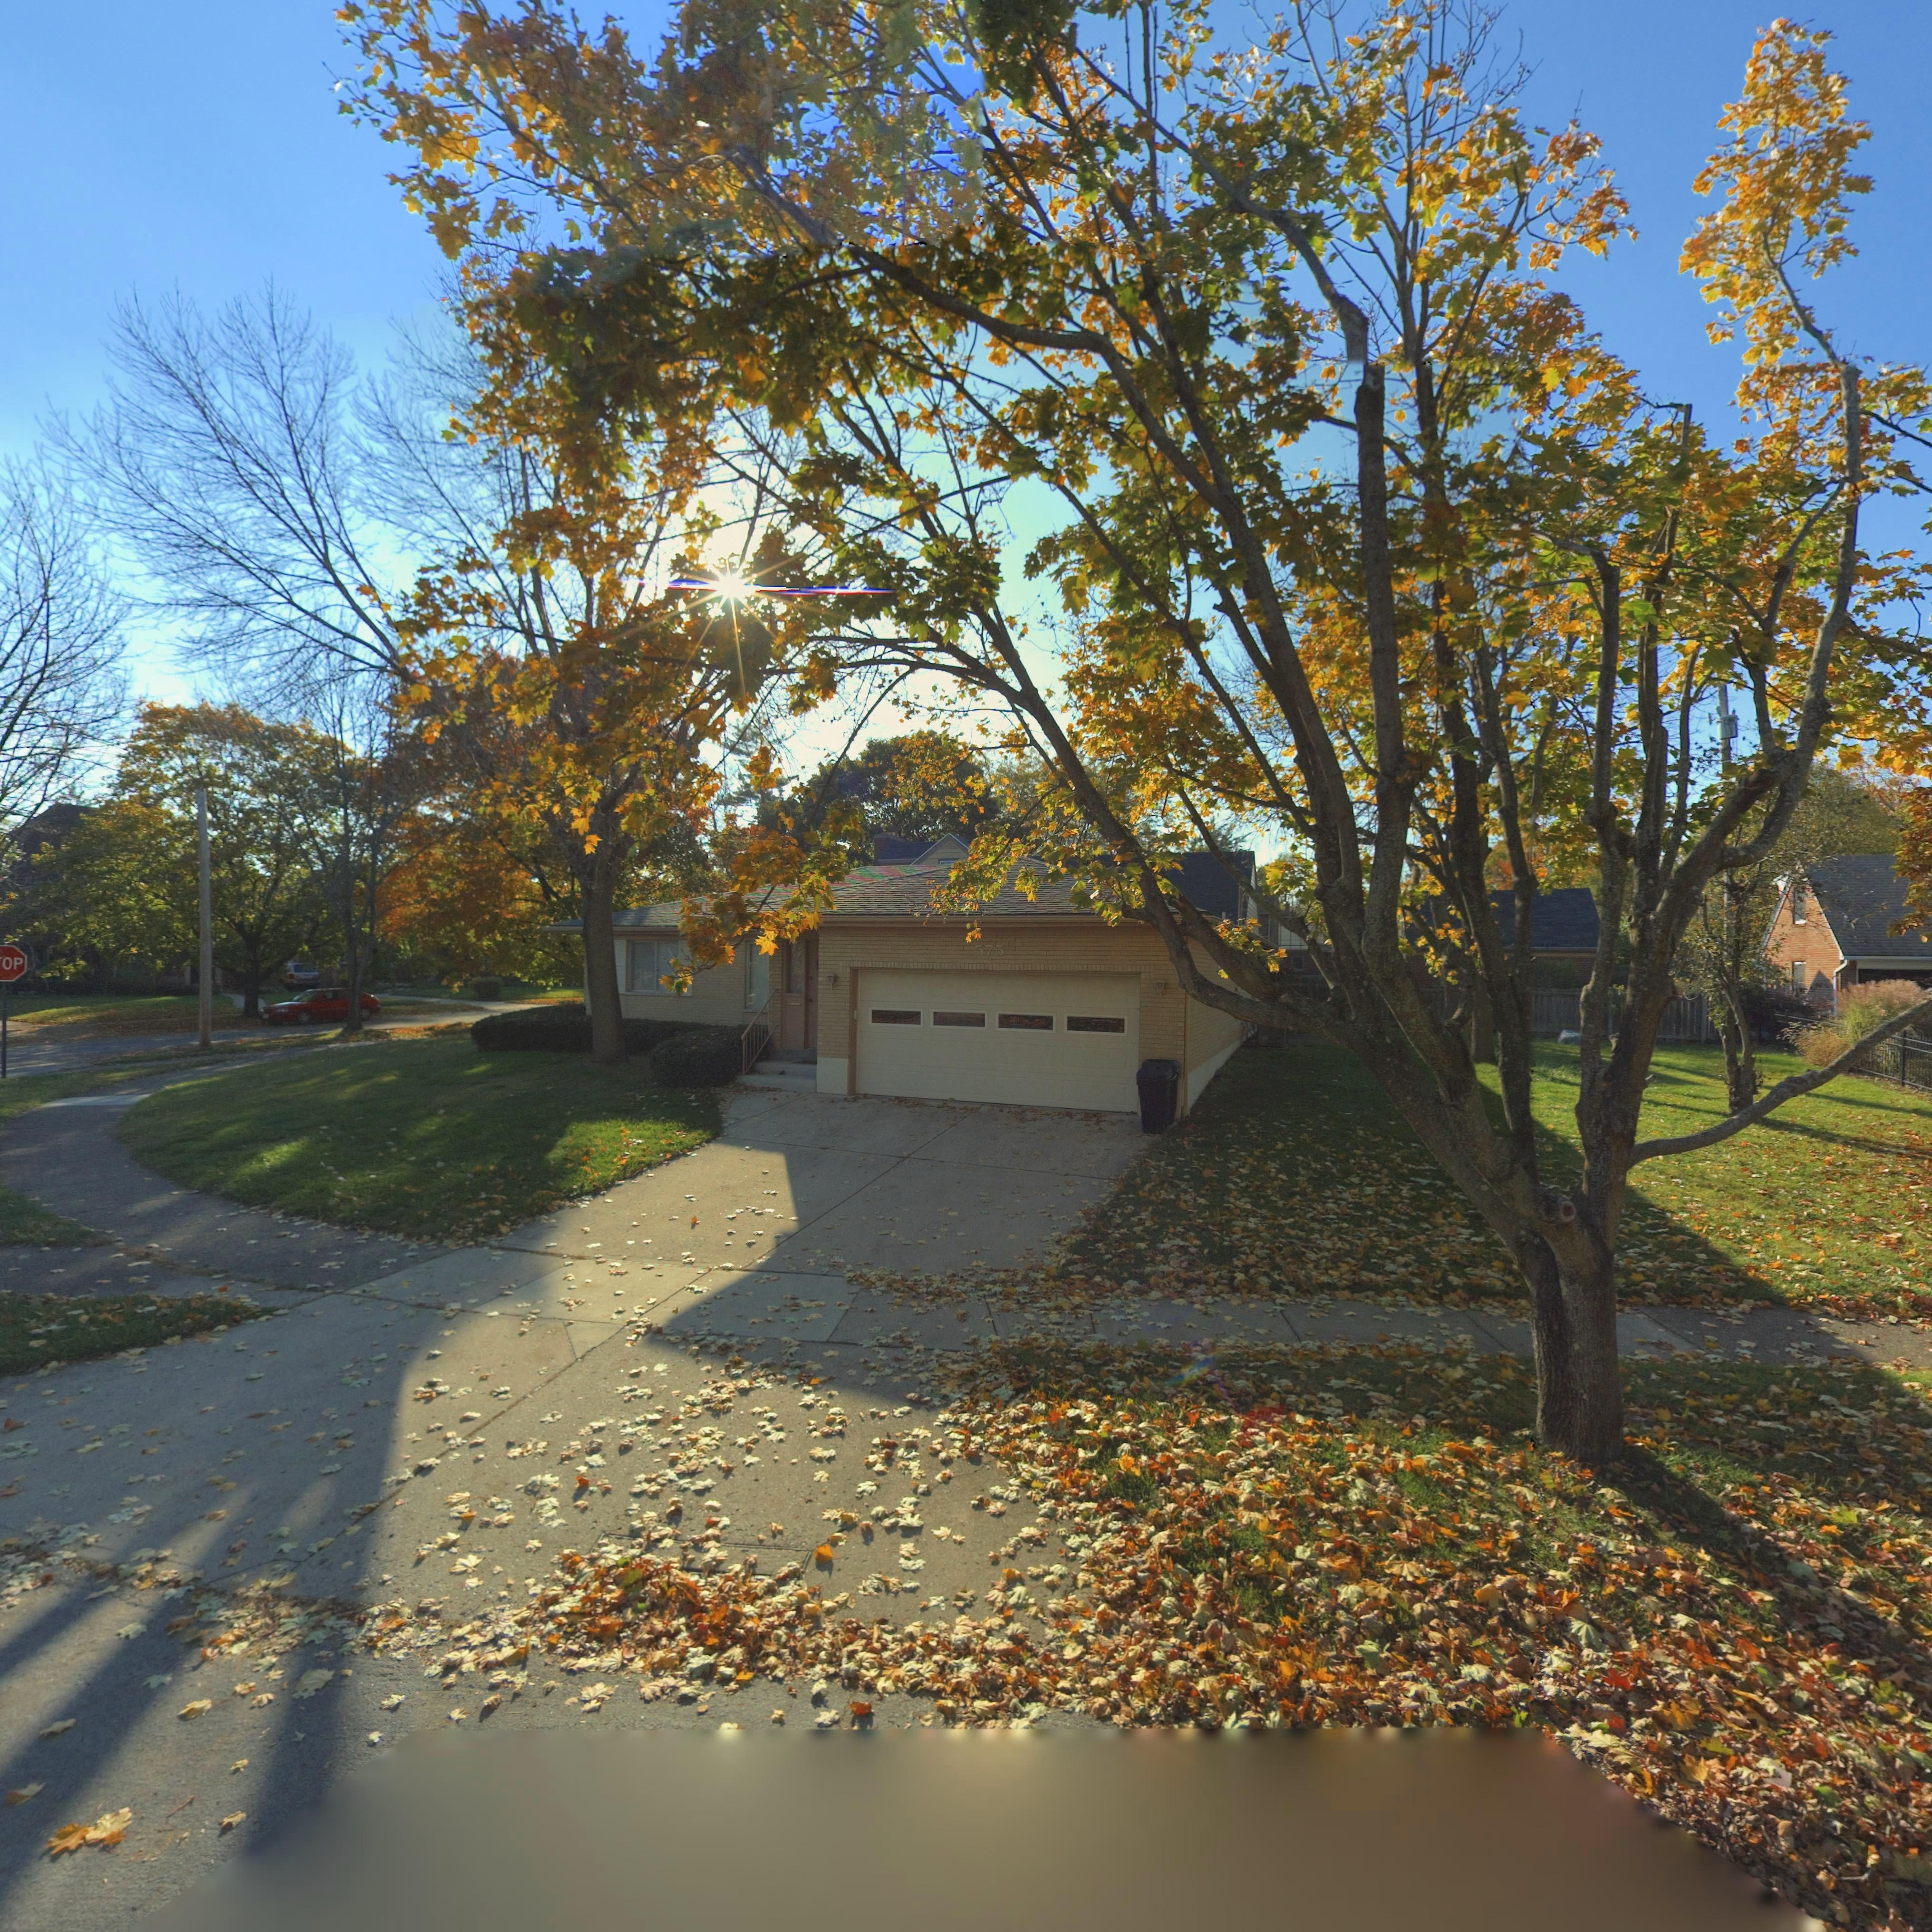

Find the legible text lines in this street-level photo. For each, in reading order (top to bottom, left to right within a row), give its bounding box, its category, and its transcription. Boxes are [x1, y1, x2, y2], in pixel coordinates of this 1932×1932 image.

[974, 944, 1005, 956] StreetNumber: 575